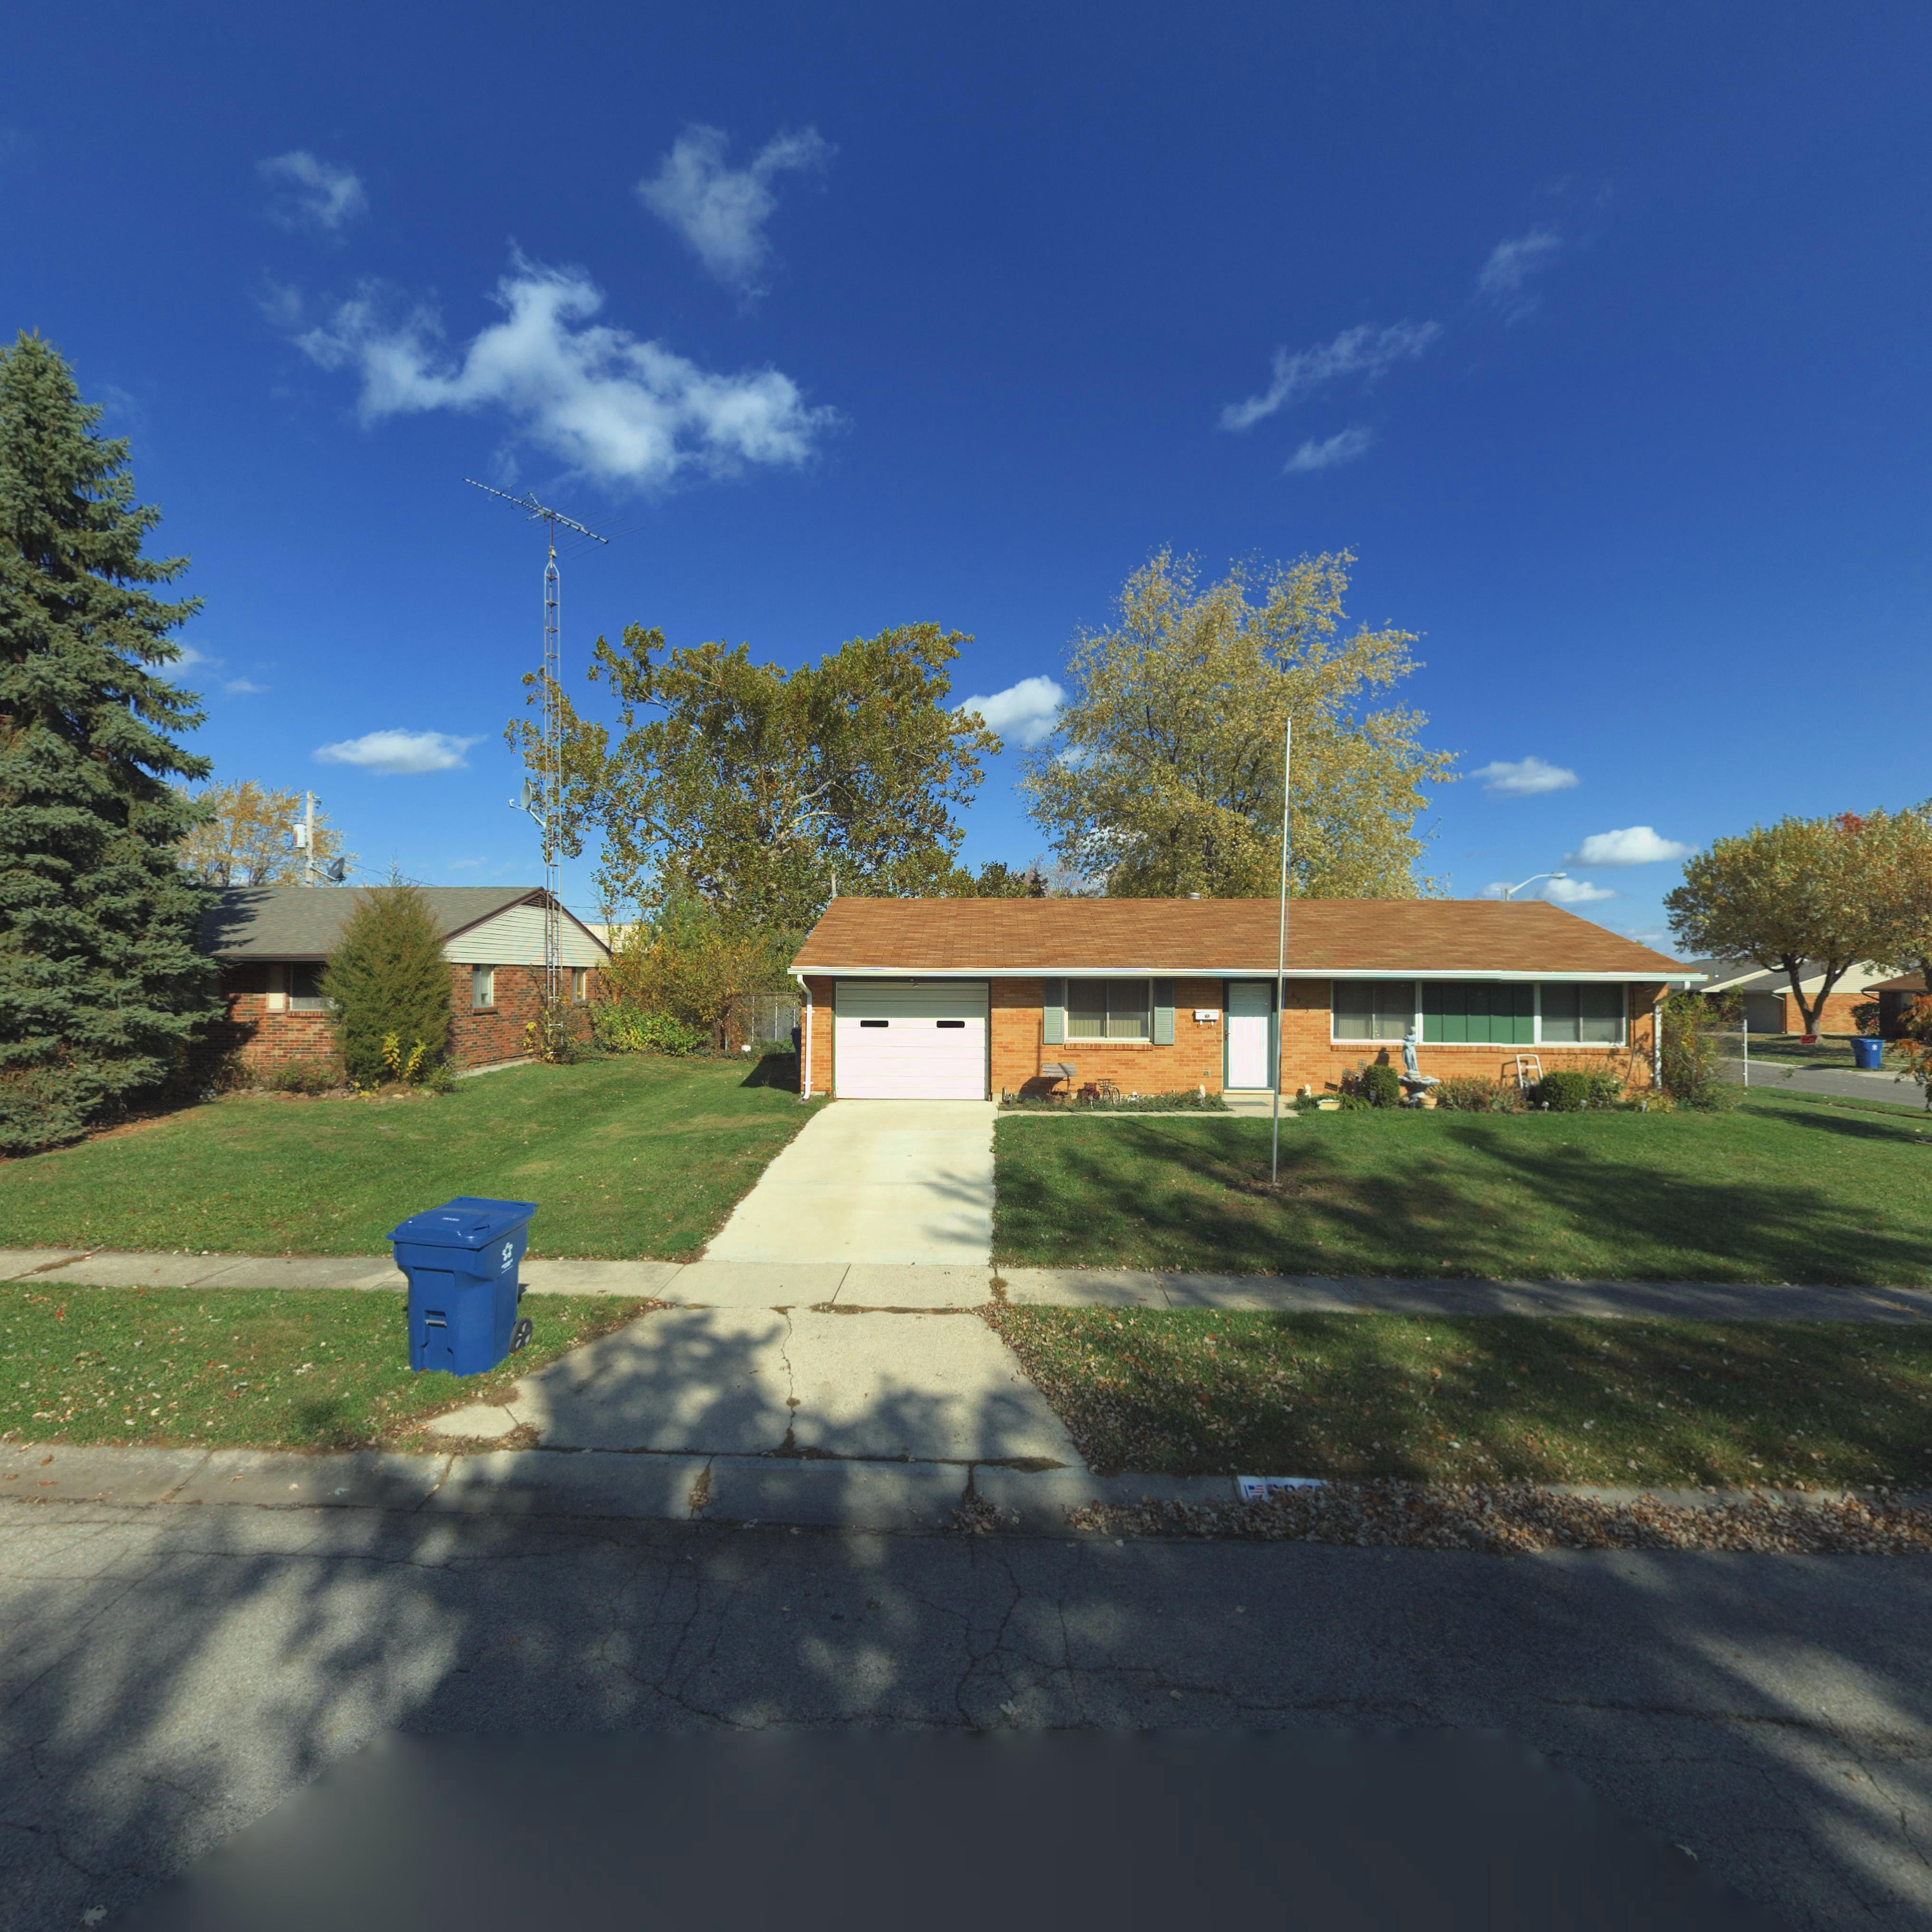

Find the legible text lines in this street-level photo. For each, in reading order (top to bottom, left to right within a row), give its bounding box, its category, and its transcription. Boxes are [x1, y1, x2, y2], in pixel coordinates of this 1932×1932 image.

[1289, 991, 1310, 1015] StreetNumber: 69**